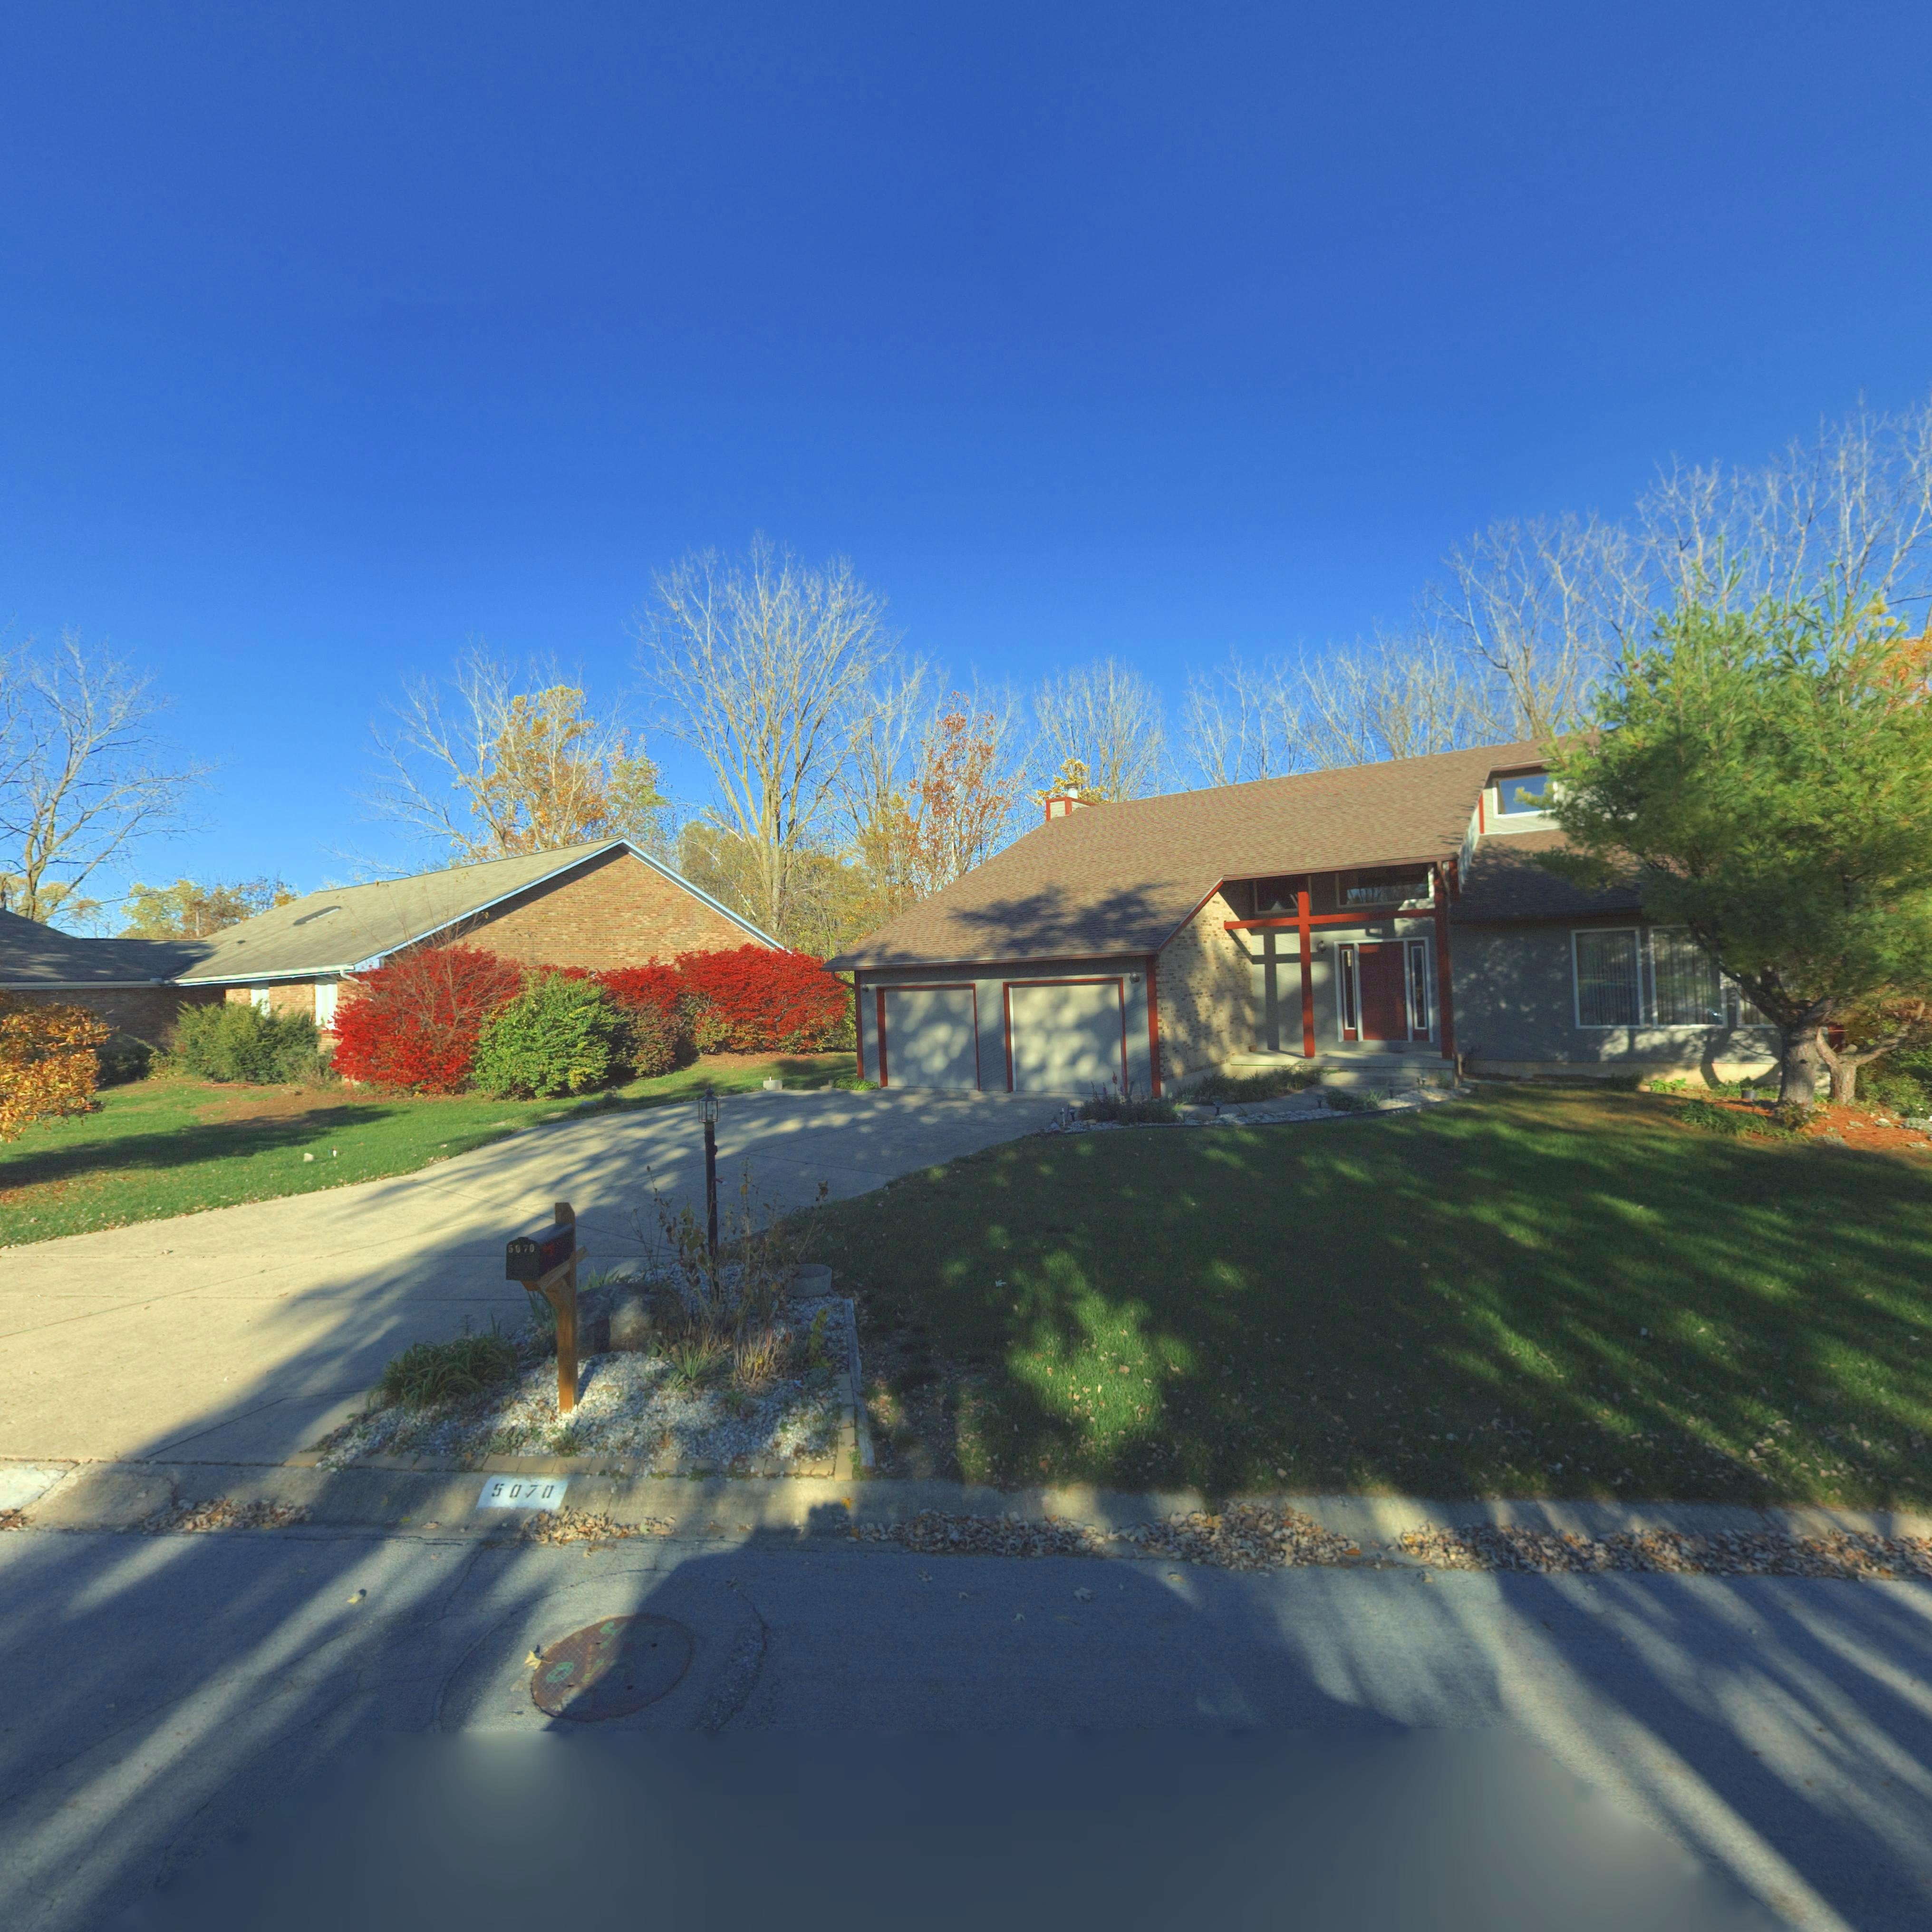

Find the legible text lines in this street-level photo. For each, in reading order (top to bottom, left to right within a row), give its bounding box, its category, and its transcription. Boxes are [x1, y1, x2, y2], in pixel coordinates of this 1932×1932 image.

[508, 1244, 535, 1254] StreetNumber: 5070
[490, 1482, 556, 1499] StreetNumber: 5070